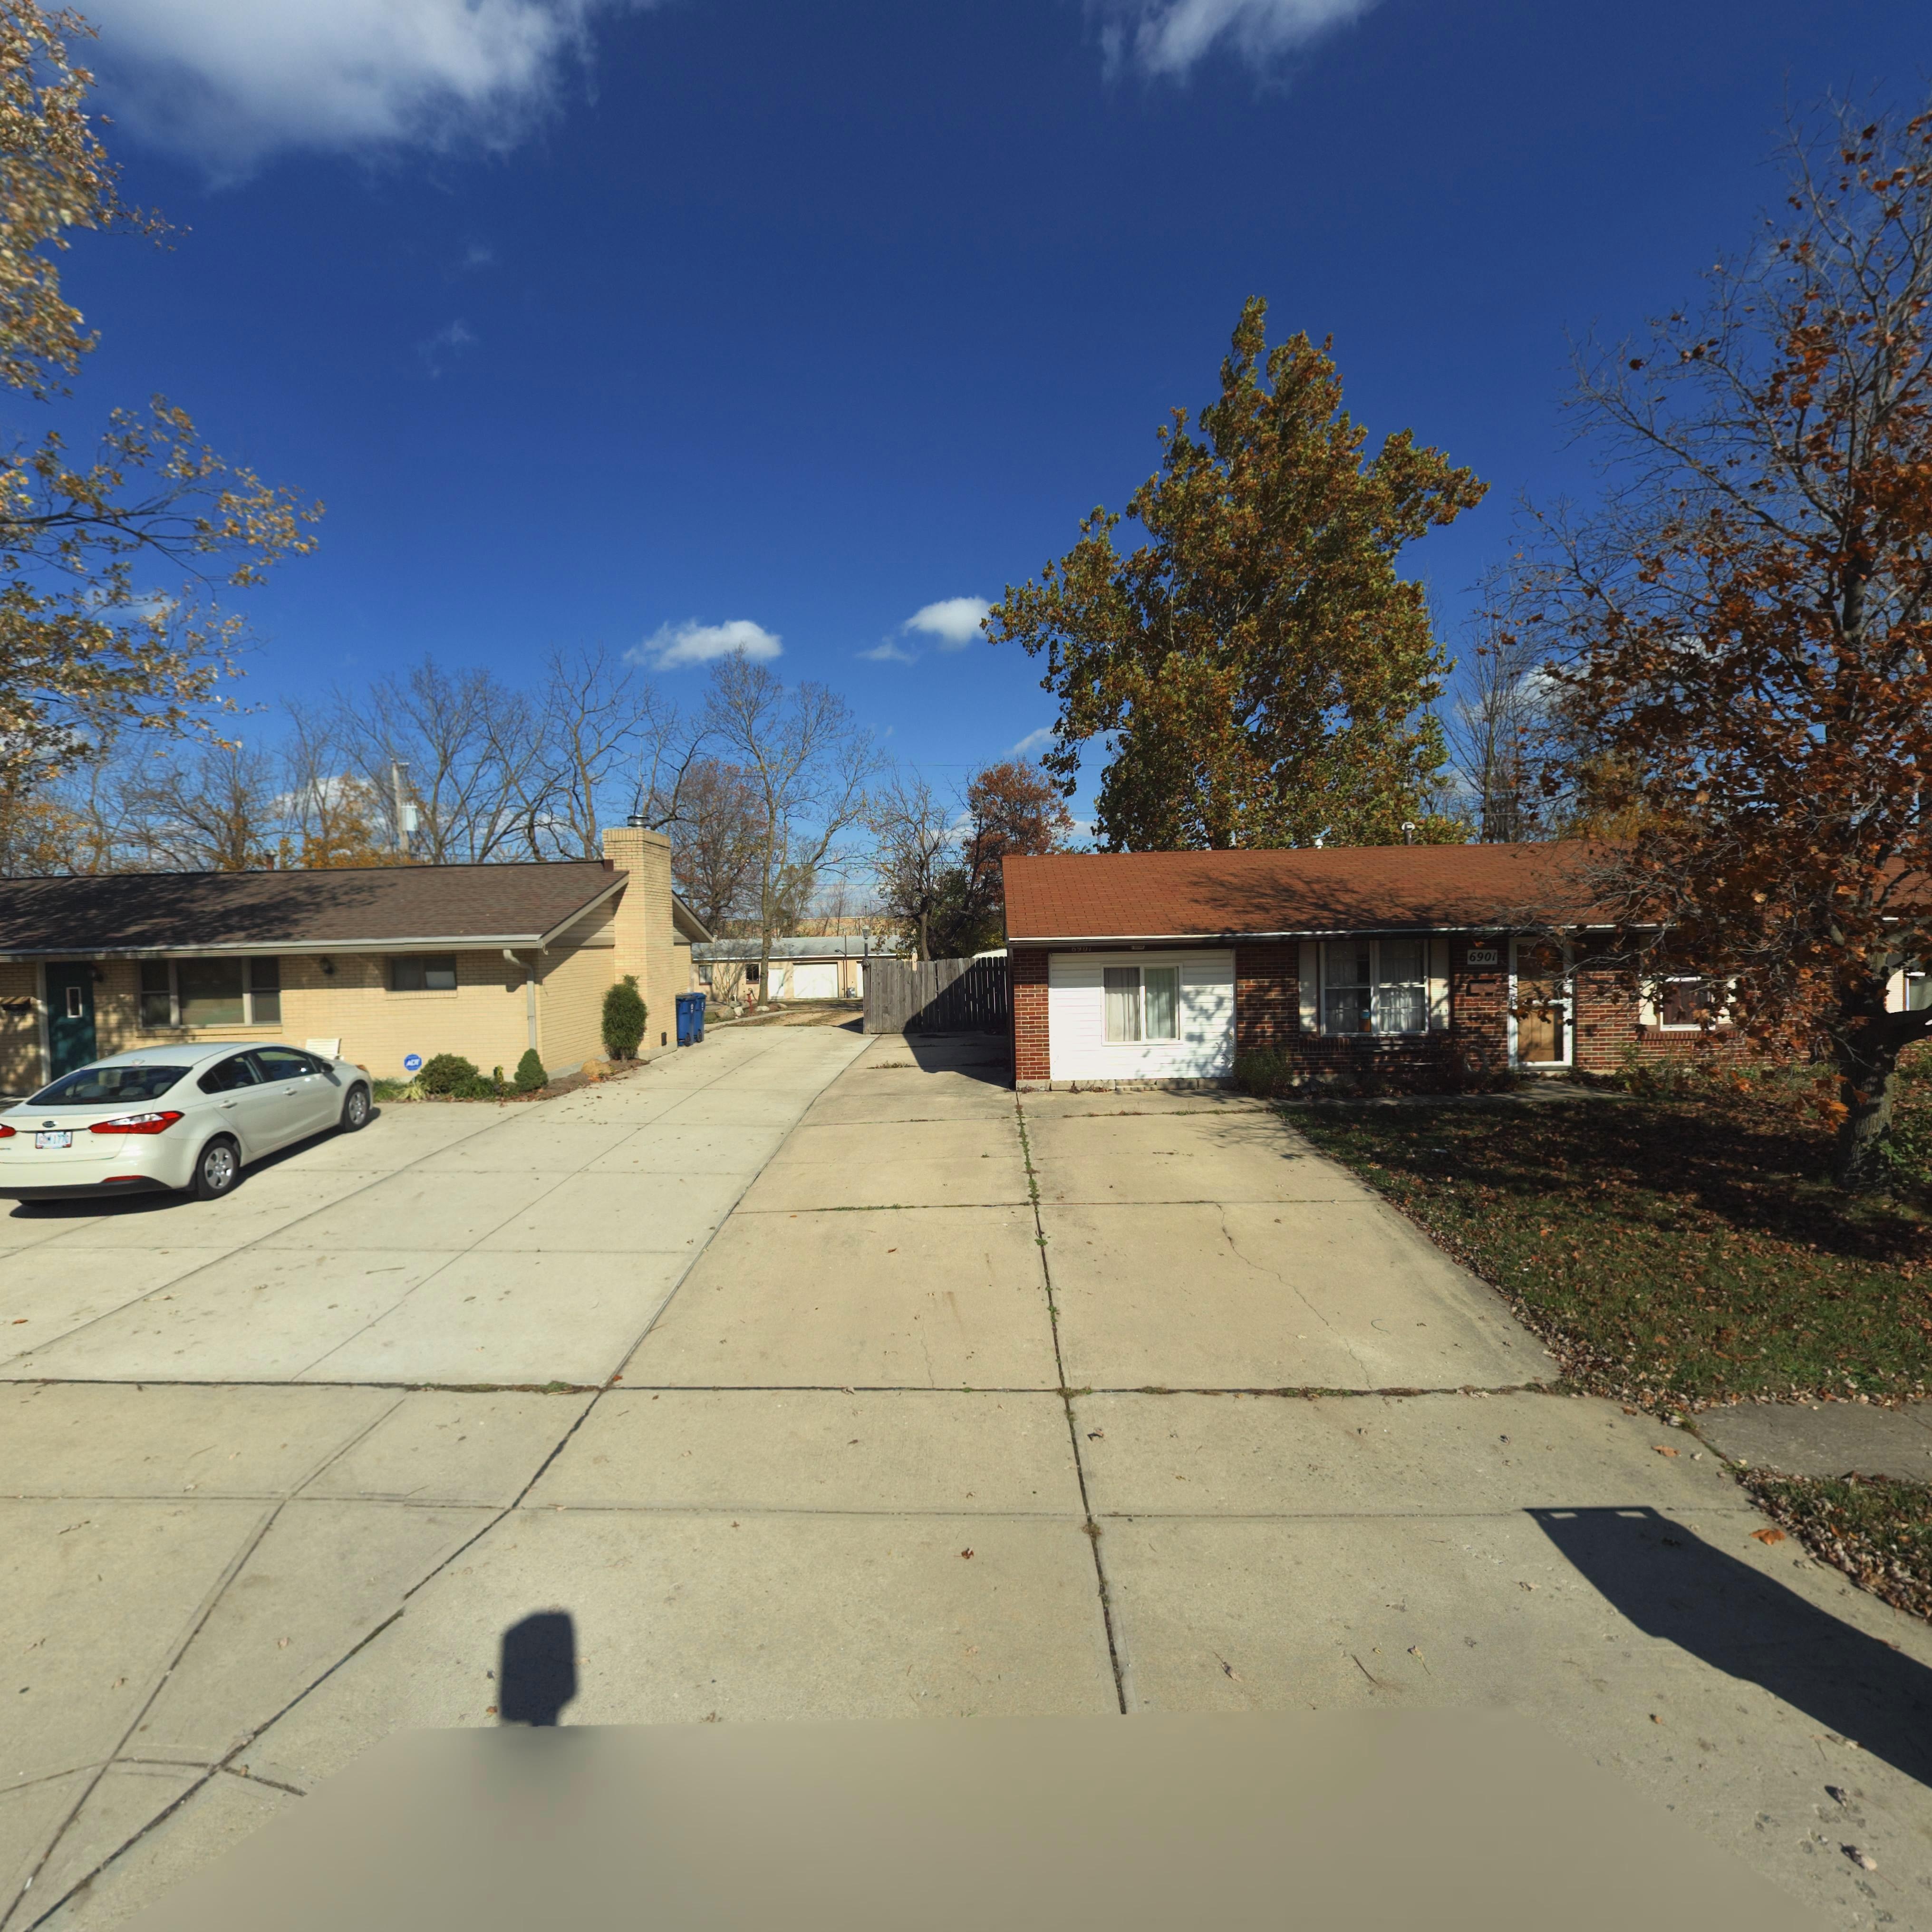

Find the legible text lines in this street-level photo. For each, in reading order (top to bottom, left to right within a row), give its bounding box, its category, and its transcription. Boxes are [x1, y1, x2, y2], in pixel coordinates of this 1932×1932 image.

[1468, 950, 1497, 963] StreetNumber: 6901